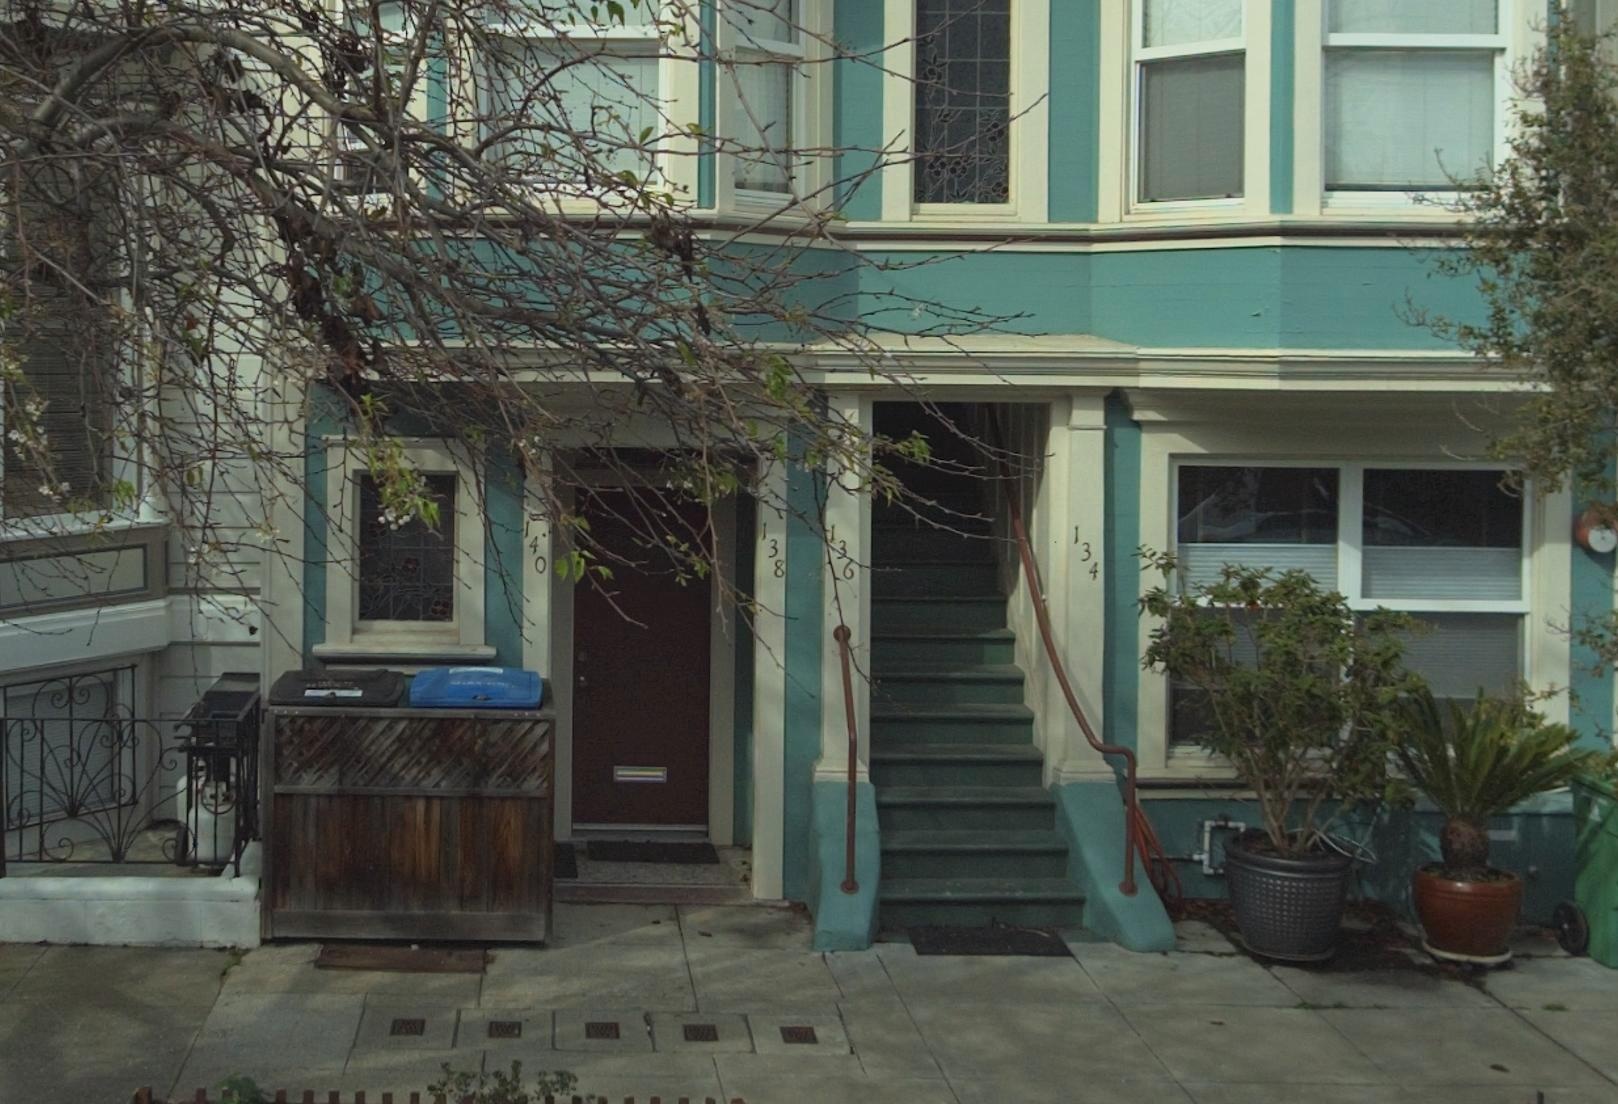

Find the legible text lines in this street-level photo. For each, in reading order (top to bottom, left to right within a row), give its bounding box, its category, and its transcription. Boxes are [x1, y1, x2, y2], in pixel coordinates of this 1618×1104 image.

[523, 512, 548, 582] StreetNumber: 140
[761, 512, 786, 580] StreetNumber: 138
[829, 512, 857, 592] StreetNumber: 136
[1072, 519, 1102, 597] StreetNumber: 134